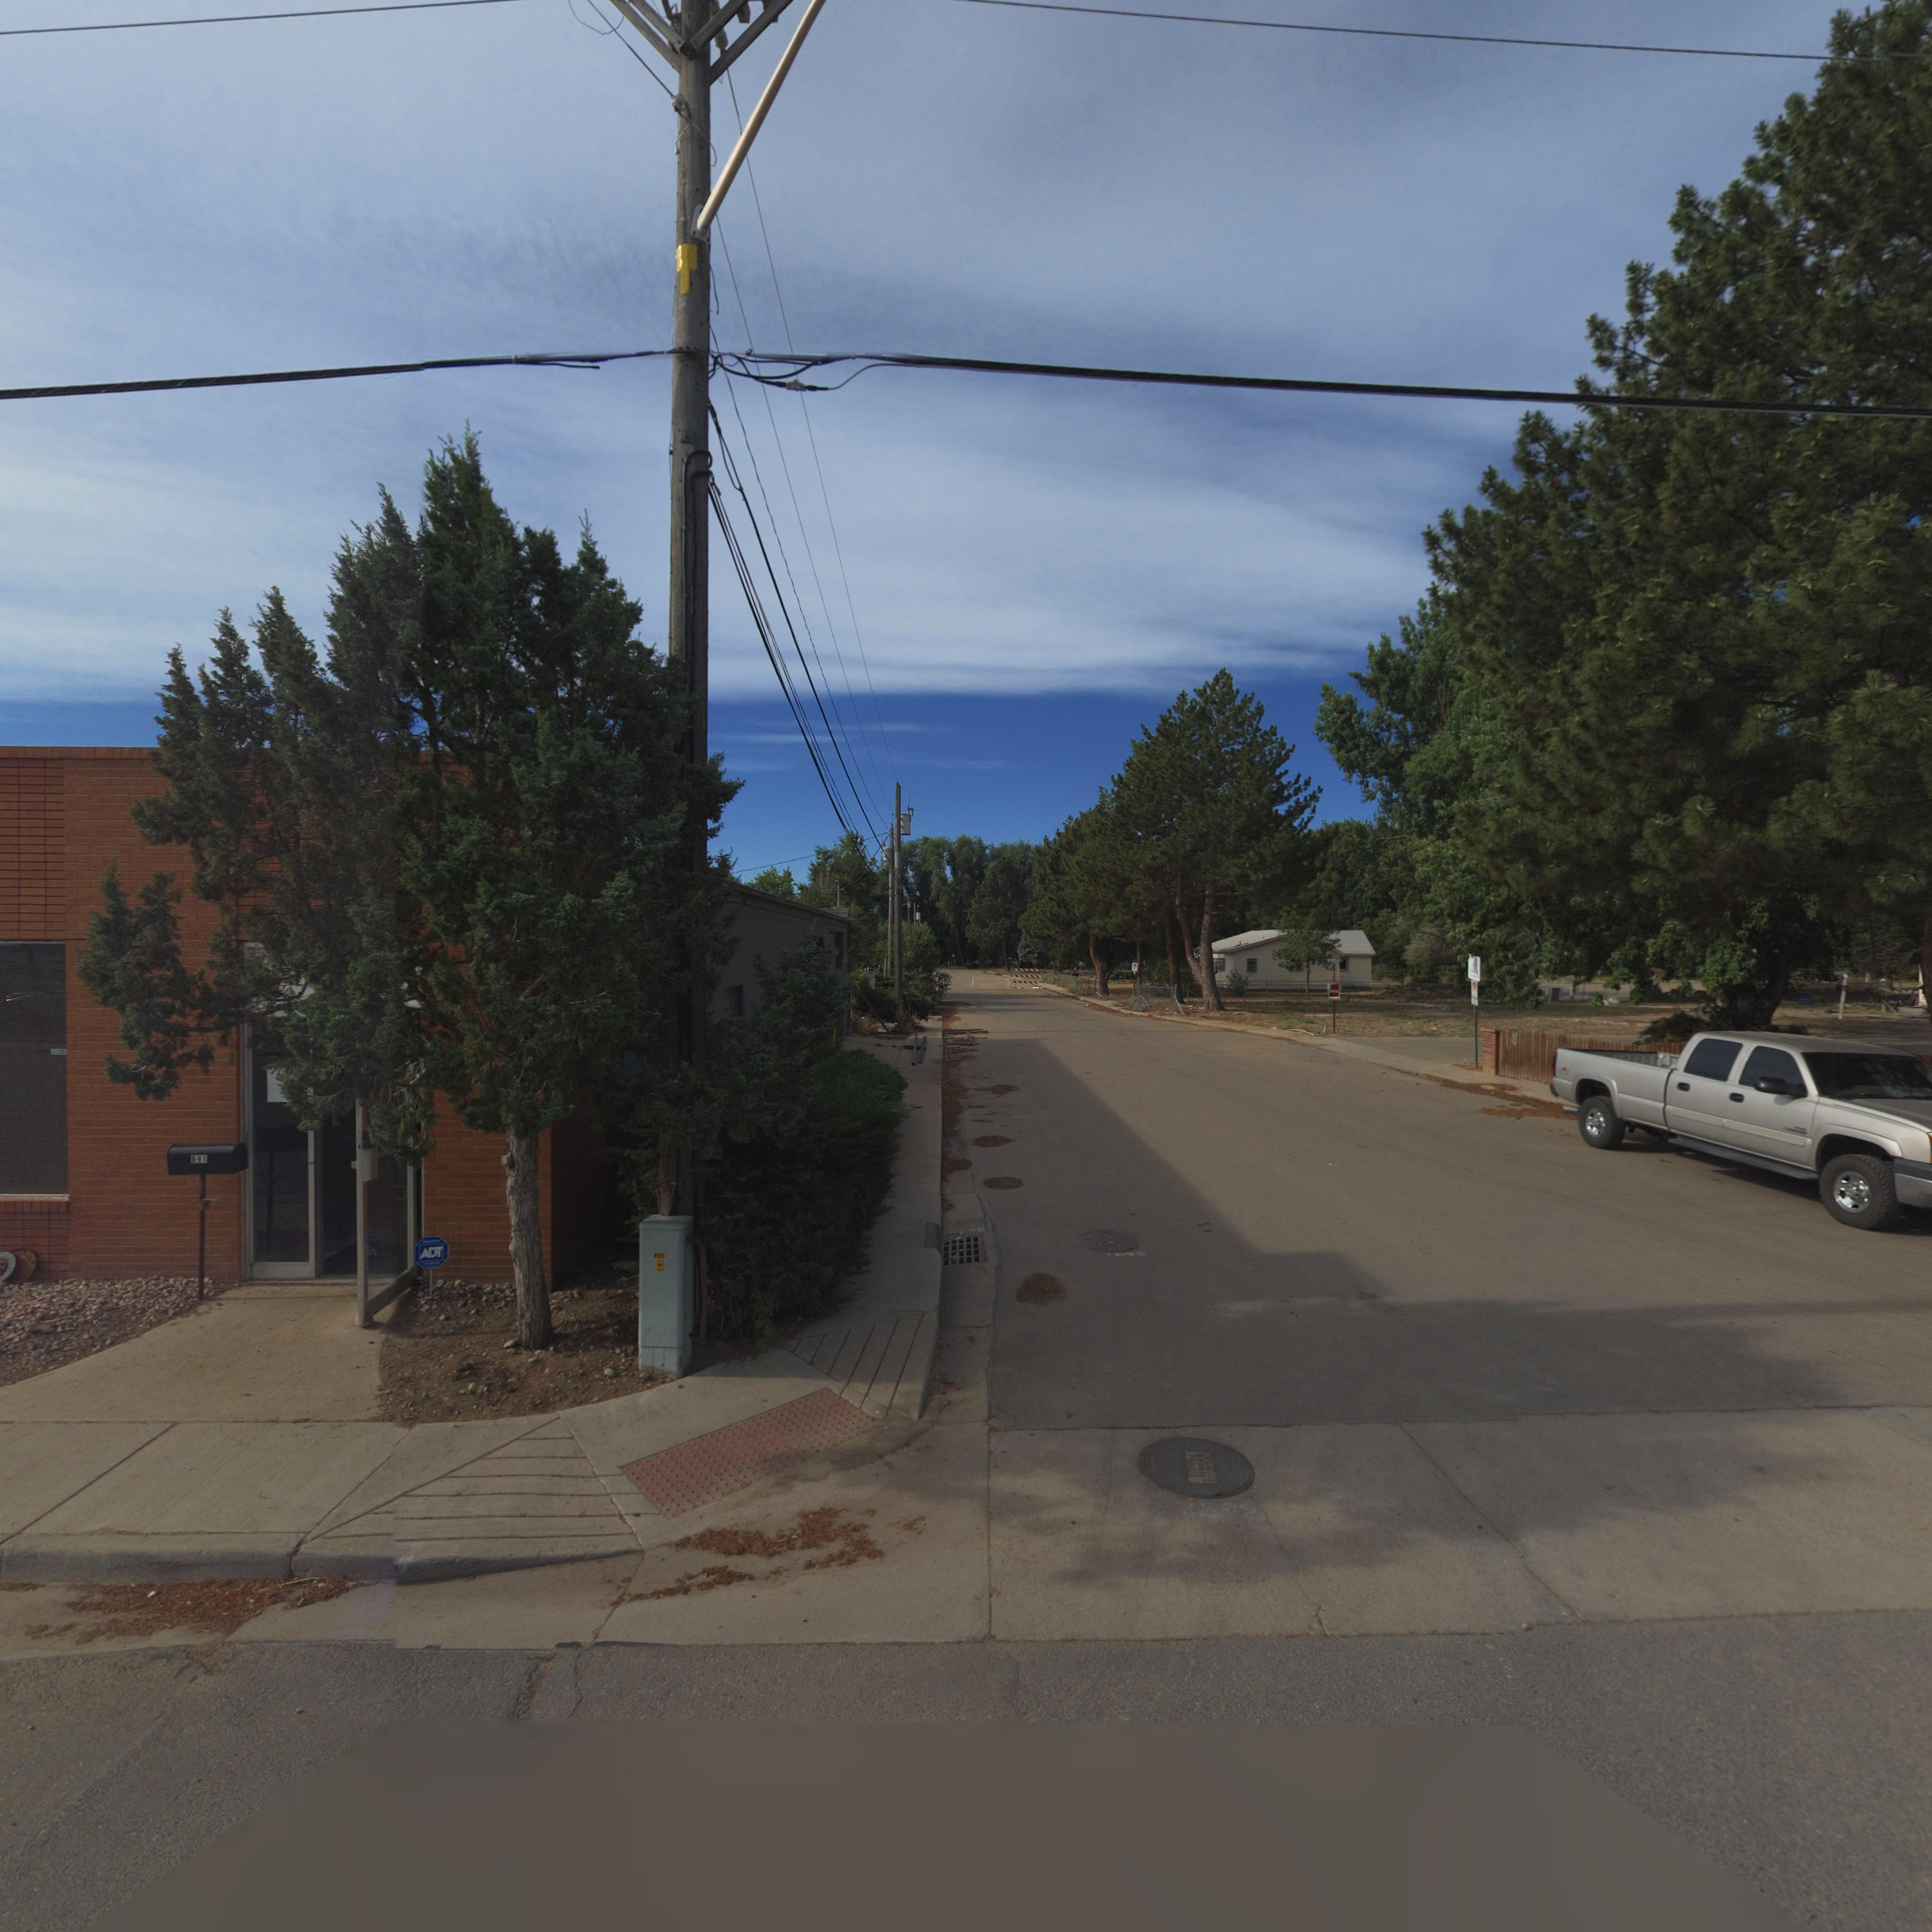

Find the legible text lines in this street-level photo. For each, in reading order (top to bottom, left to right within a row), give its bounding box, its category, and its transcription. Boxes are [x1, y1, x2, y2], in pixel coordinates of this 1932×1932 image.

[1327, 957, 1341, 962] StreetName: M****E
[191, 1155, 205, 1163] StreetNumber: 691